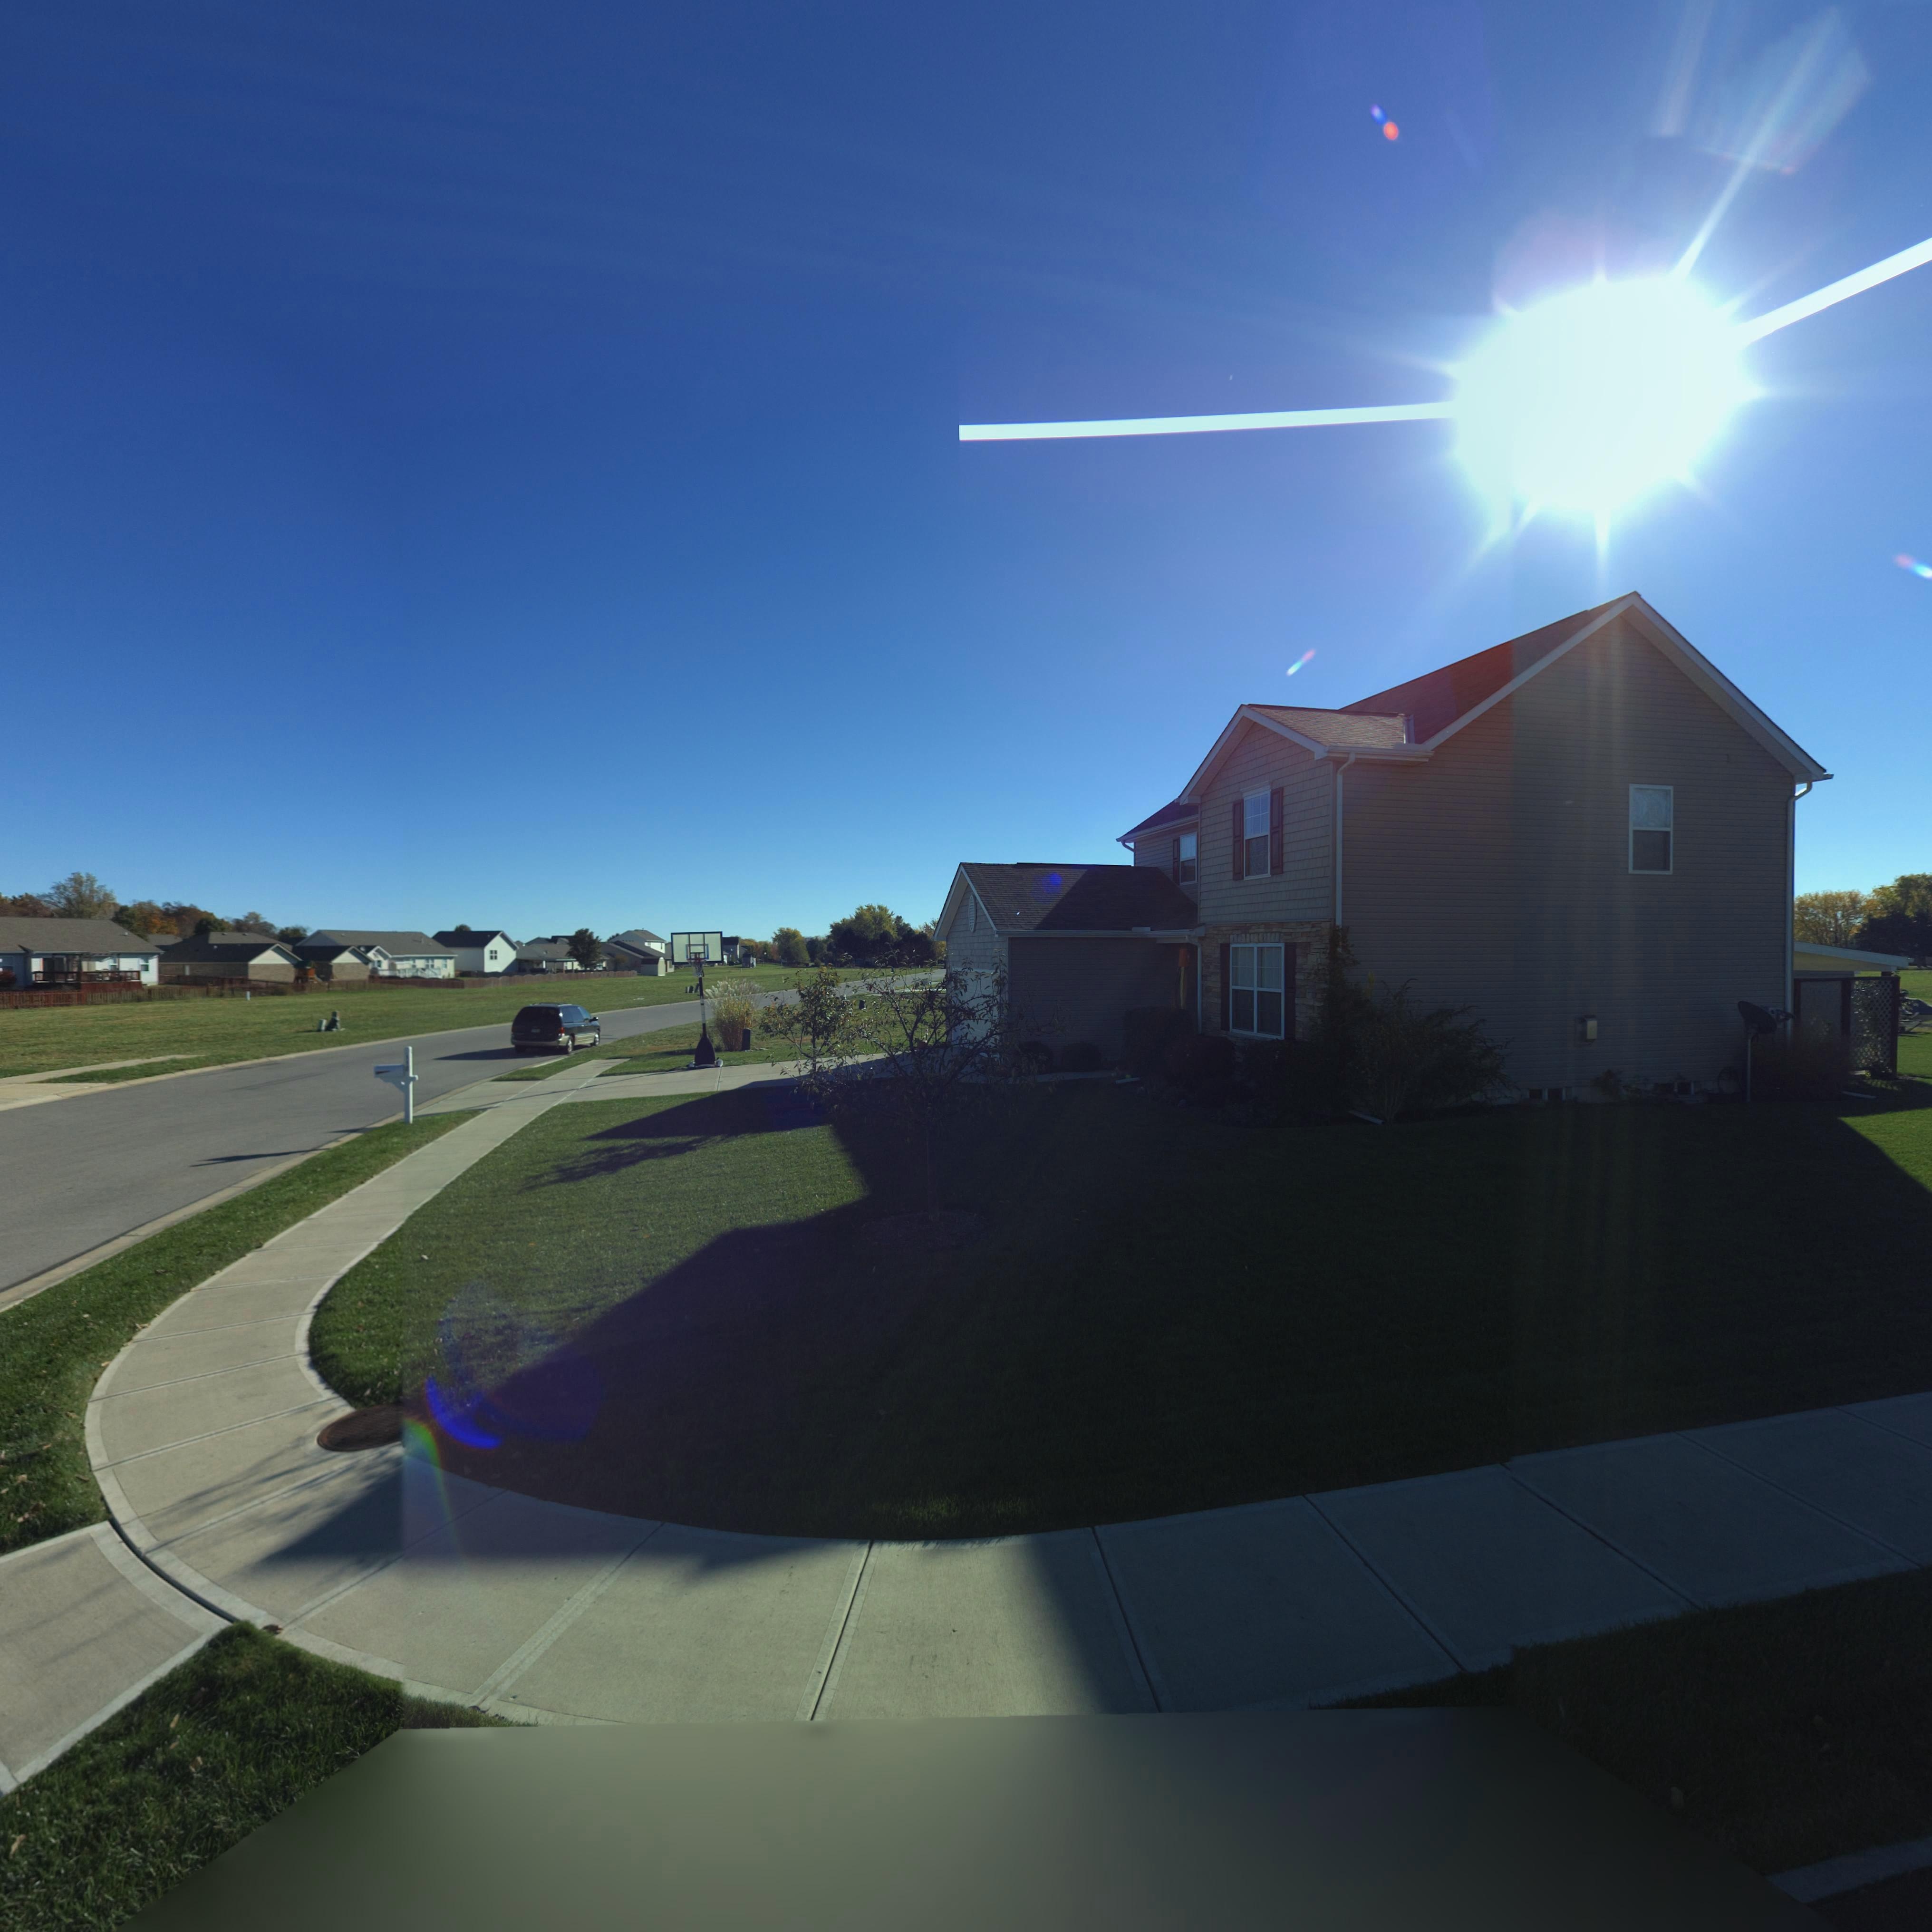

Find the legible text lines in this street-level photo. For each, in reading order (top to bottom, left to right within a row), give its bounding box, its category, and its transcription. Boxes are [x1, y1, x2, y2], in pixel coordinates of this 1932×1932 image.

[405, 1054, 410, 1072] StreetNumber: 11*